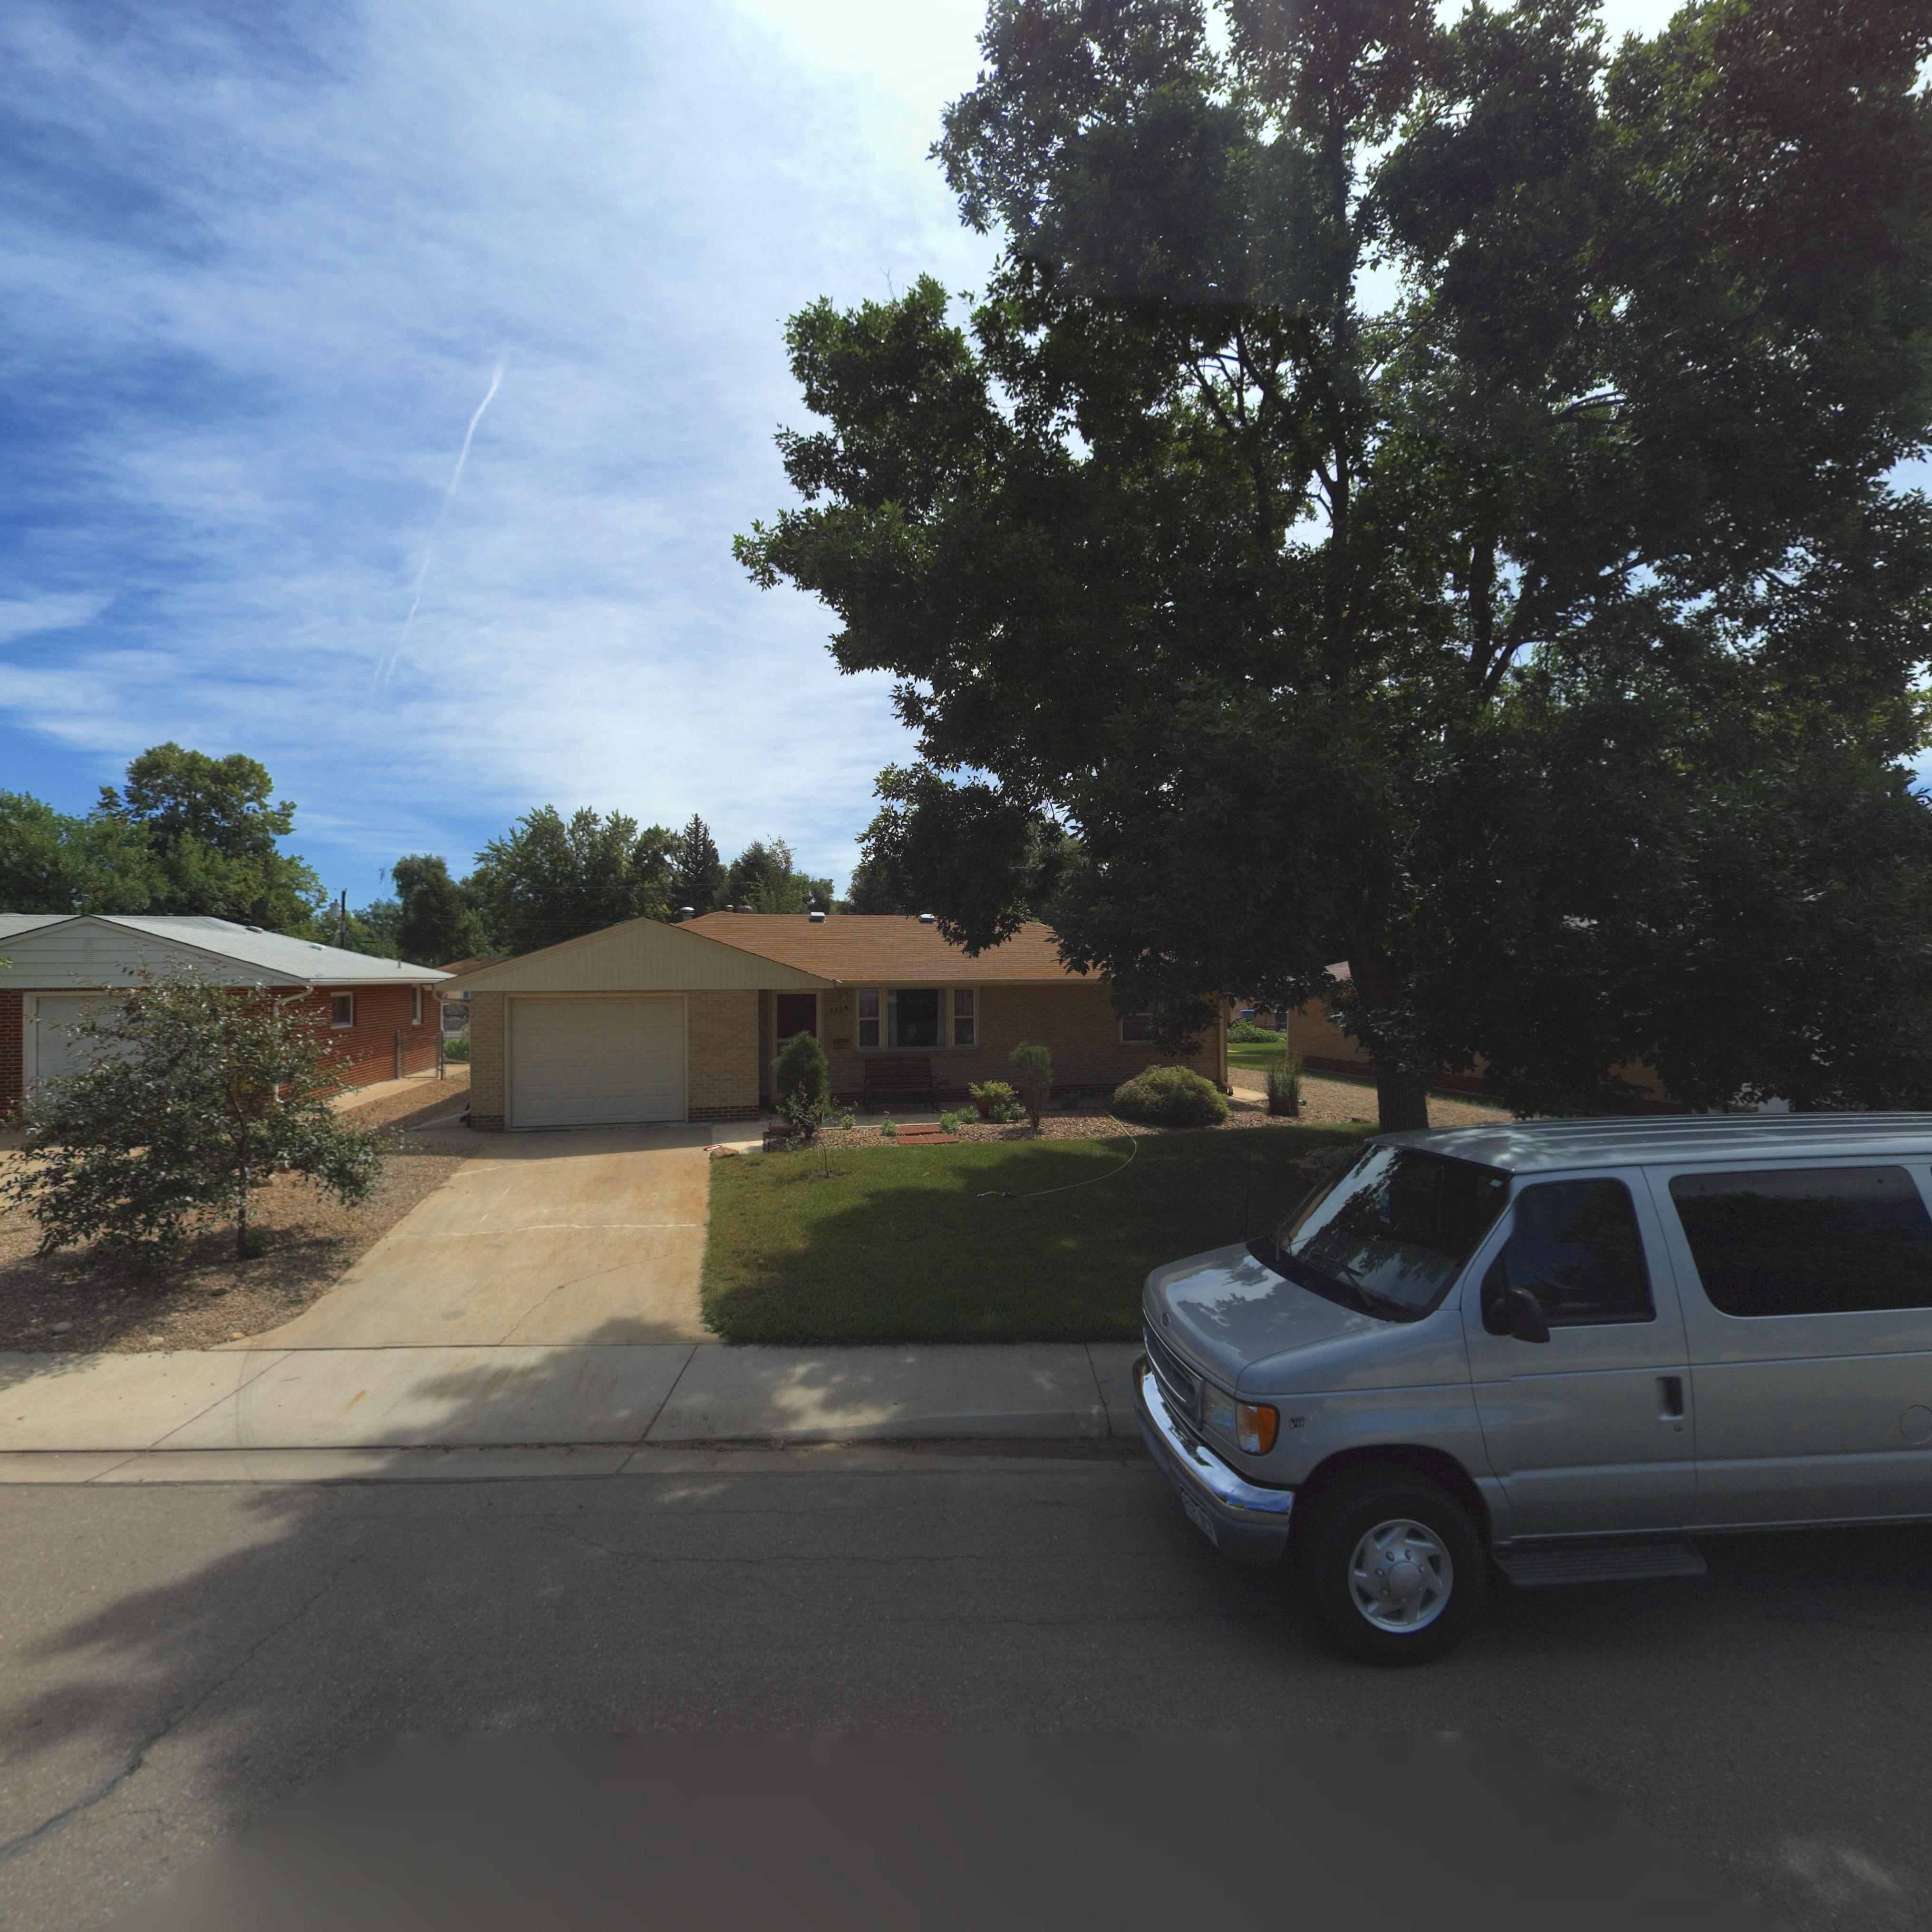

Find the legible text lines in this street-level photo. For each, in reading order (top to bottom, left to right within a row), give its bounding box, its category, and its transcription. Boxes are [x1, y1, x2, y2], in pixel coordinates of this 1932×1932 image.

[830, 1004, 848, 1014] StreetNumber: 1124